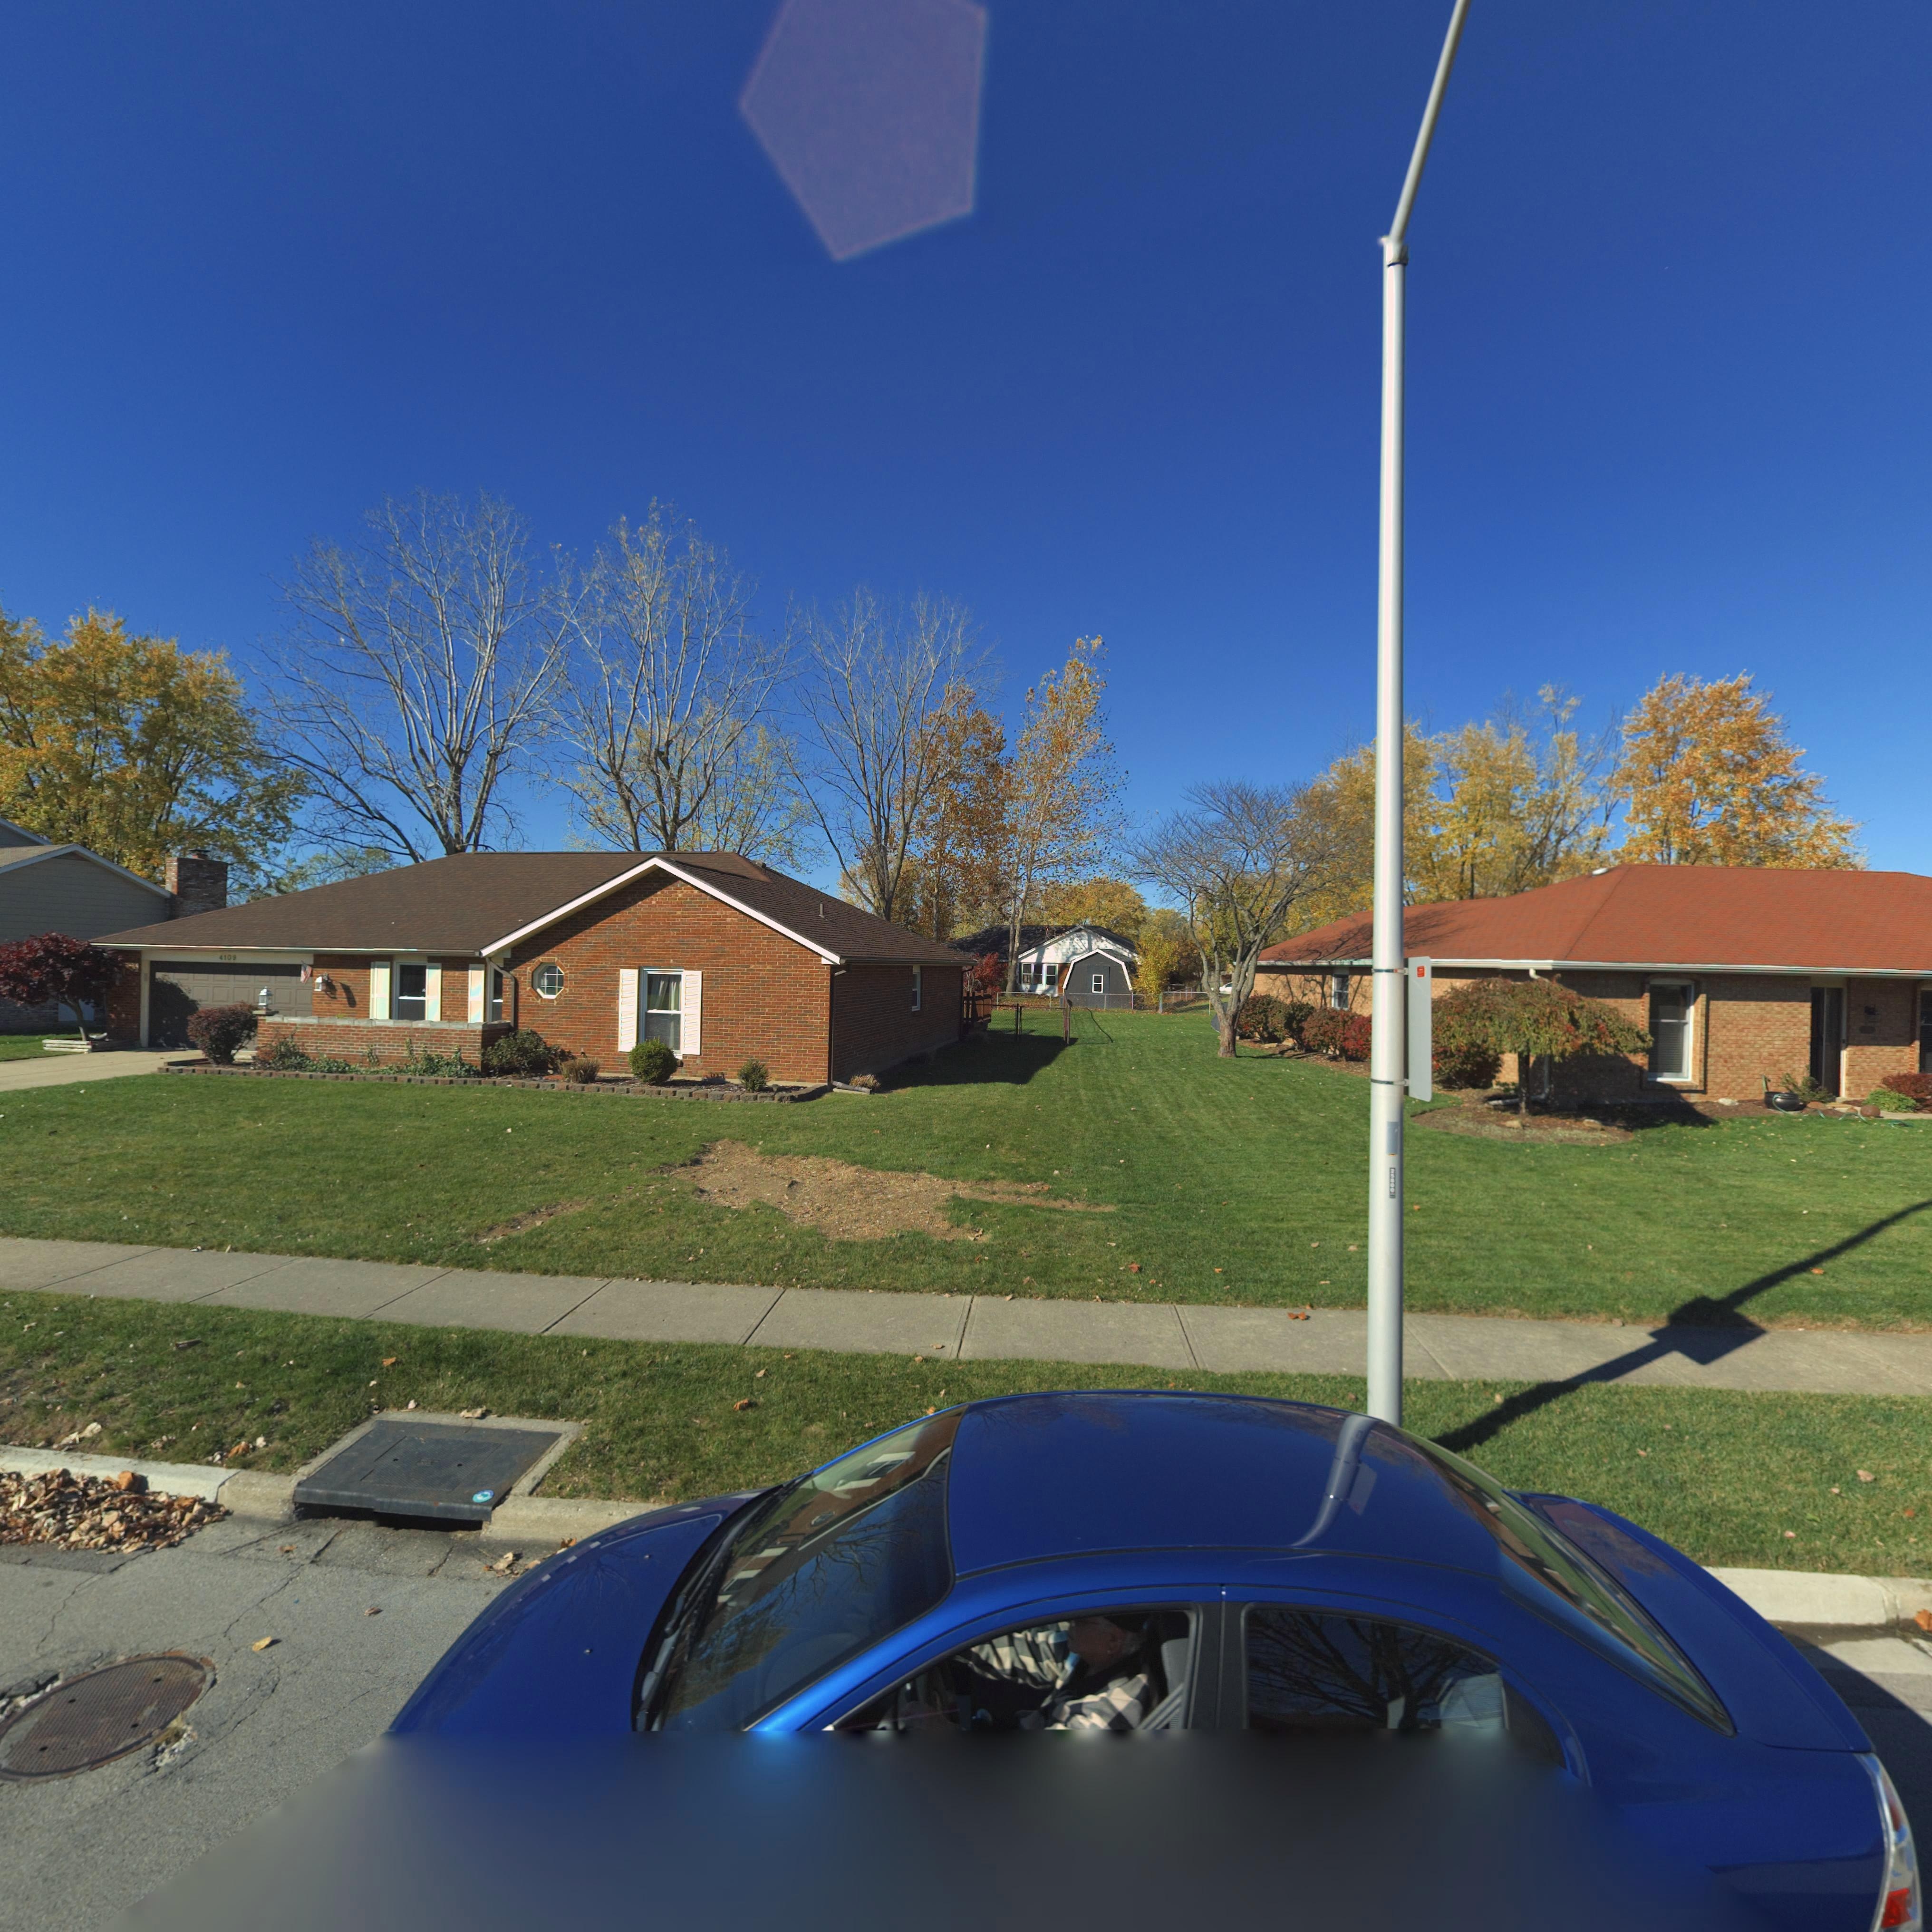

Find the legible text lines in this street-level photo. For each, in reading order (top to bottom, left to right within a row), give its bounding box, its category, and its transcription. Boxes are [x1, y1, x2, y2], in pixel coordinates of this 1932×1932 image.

[219, 954, 237, 961] StreetNumber: 4109